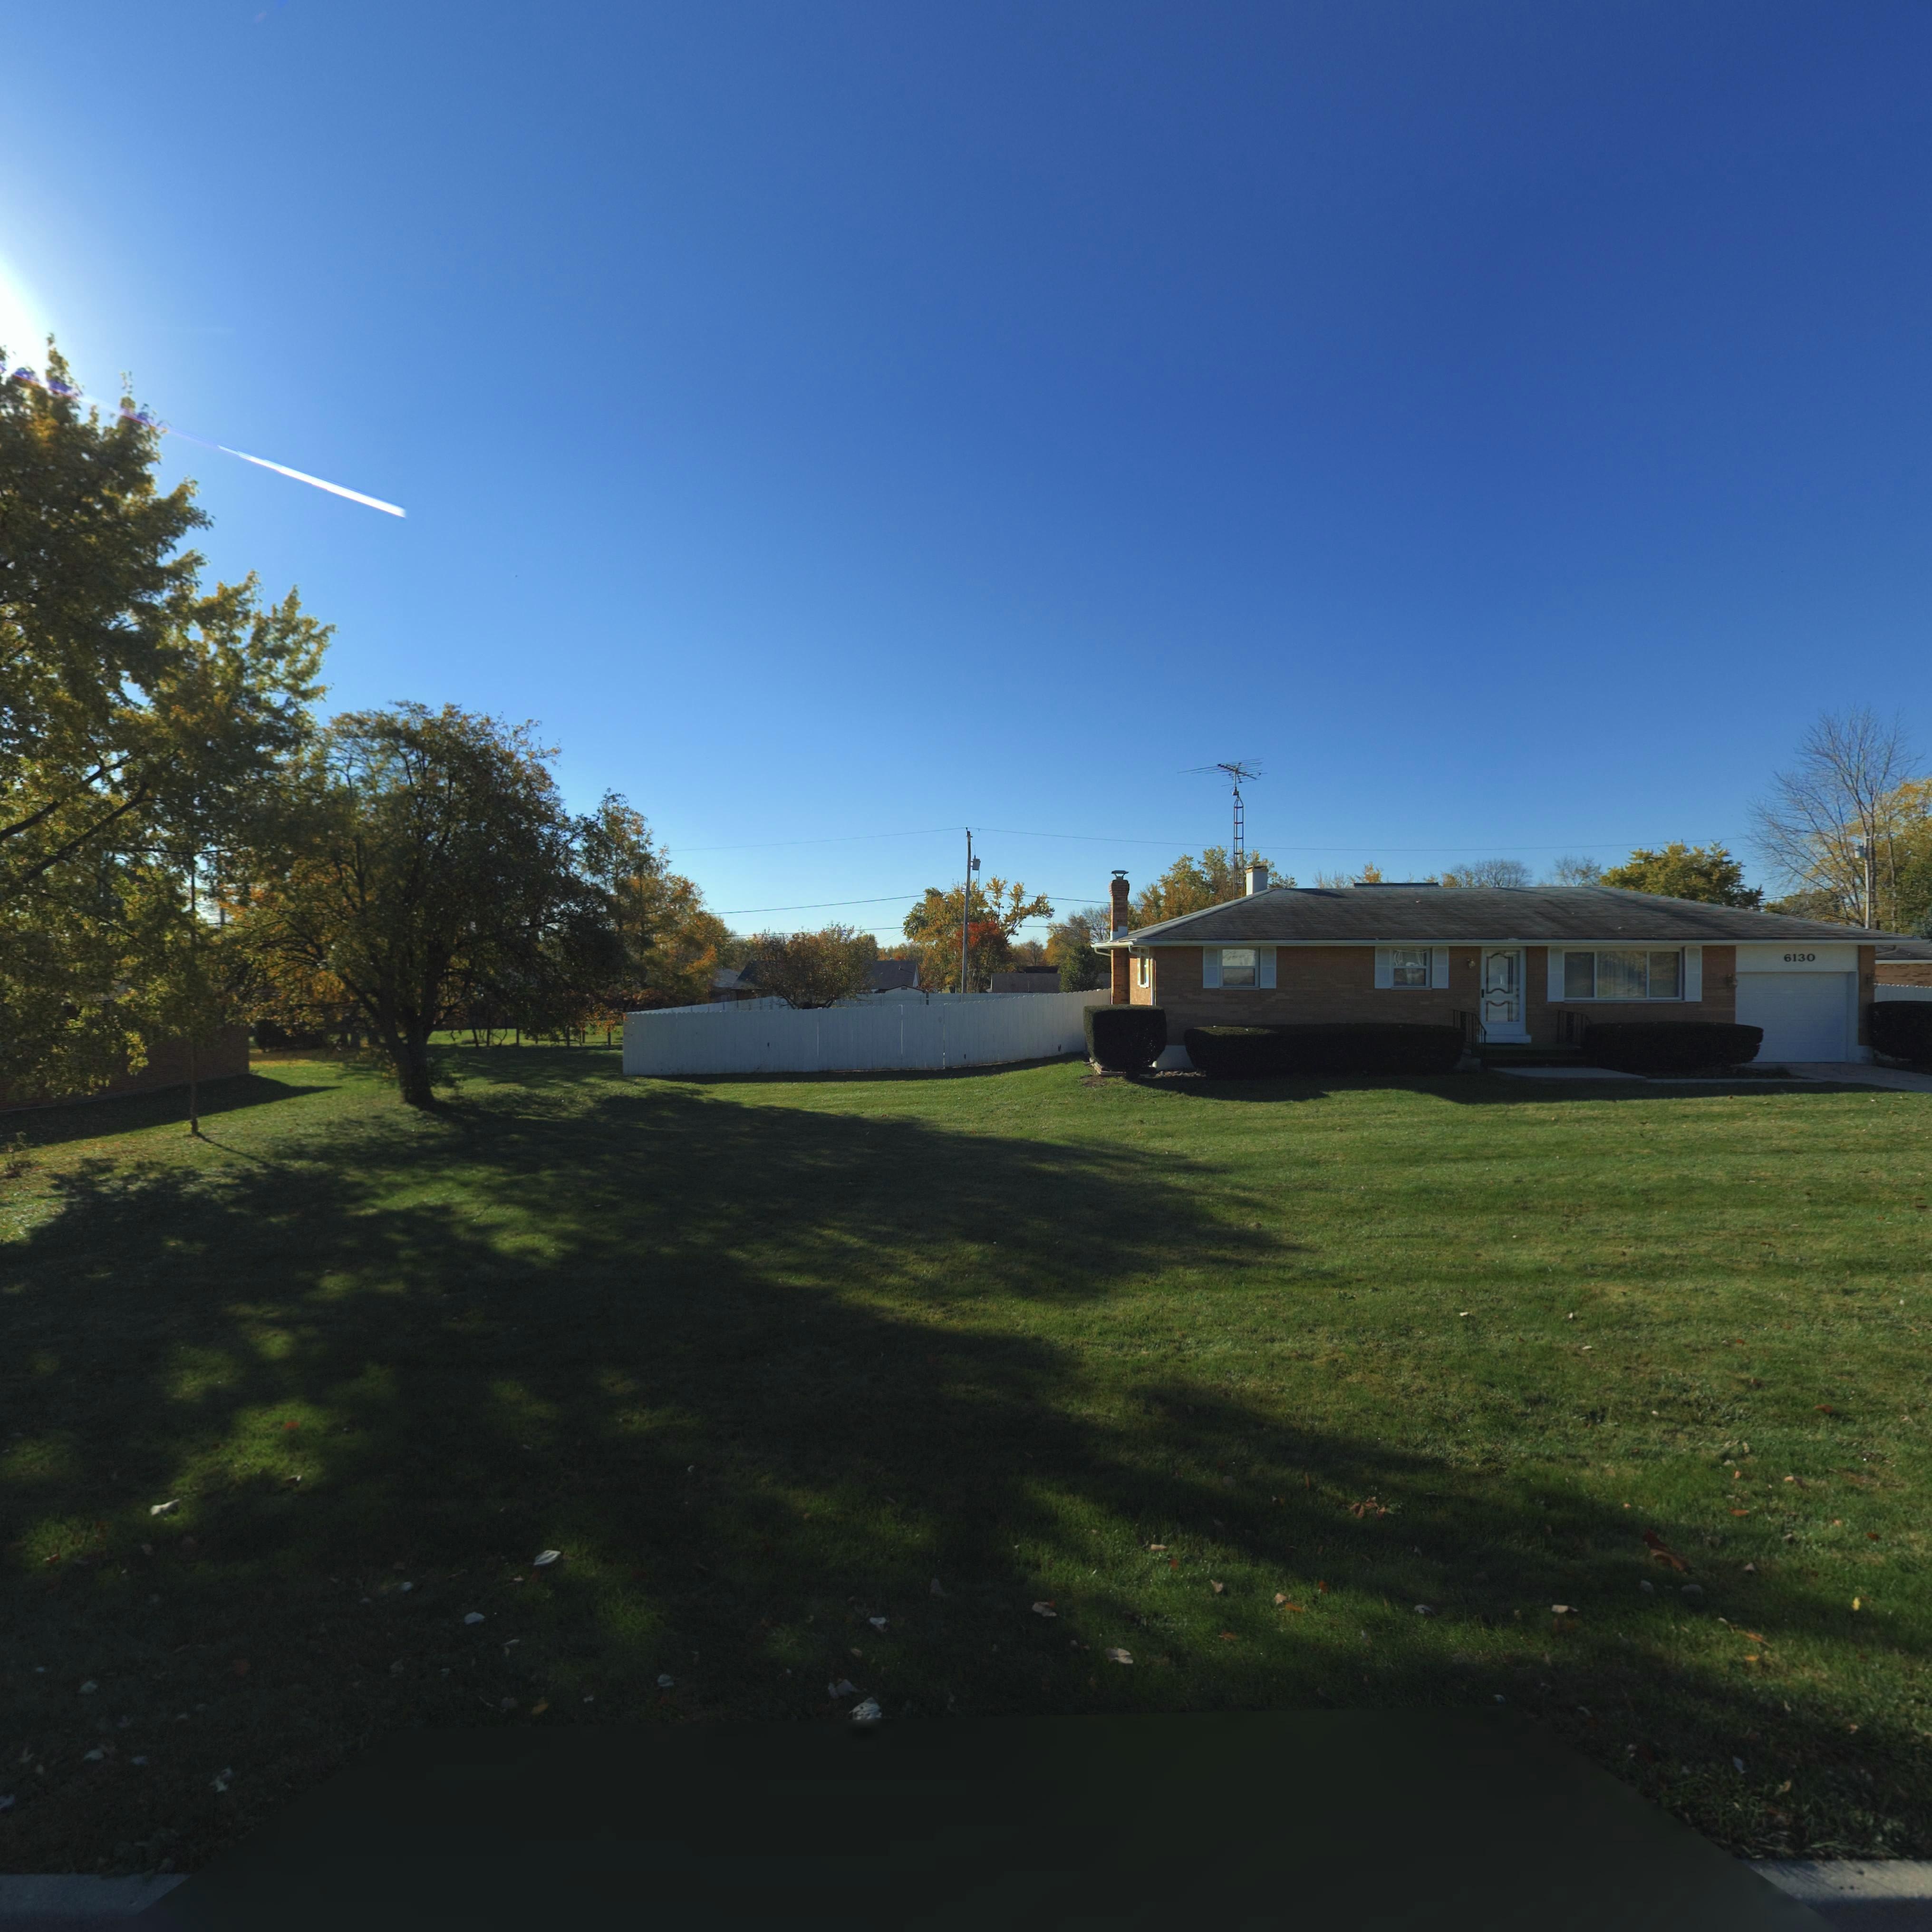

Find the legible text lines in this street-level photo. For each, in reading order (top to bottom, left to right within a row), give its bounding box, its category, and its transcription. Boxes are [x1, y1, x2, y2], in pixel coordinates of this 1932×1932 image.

[1784, 953, 1816, 962] StreetNumber: 6130